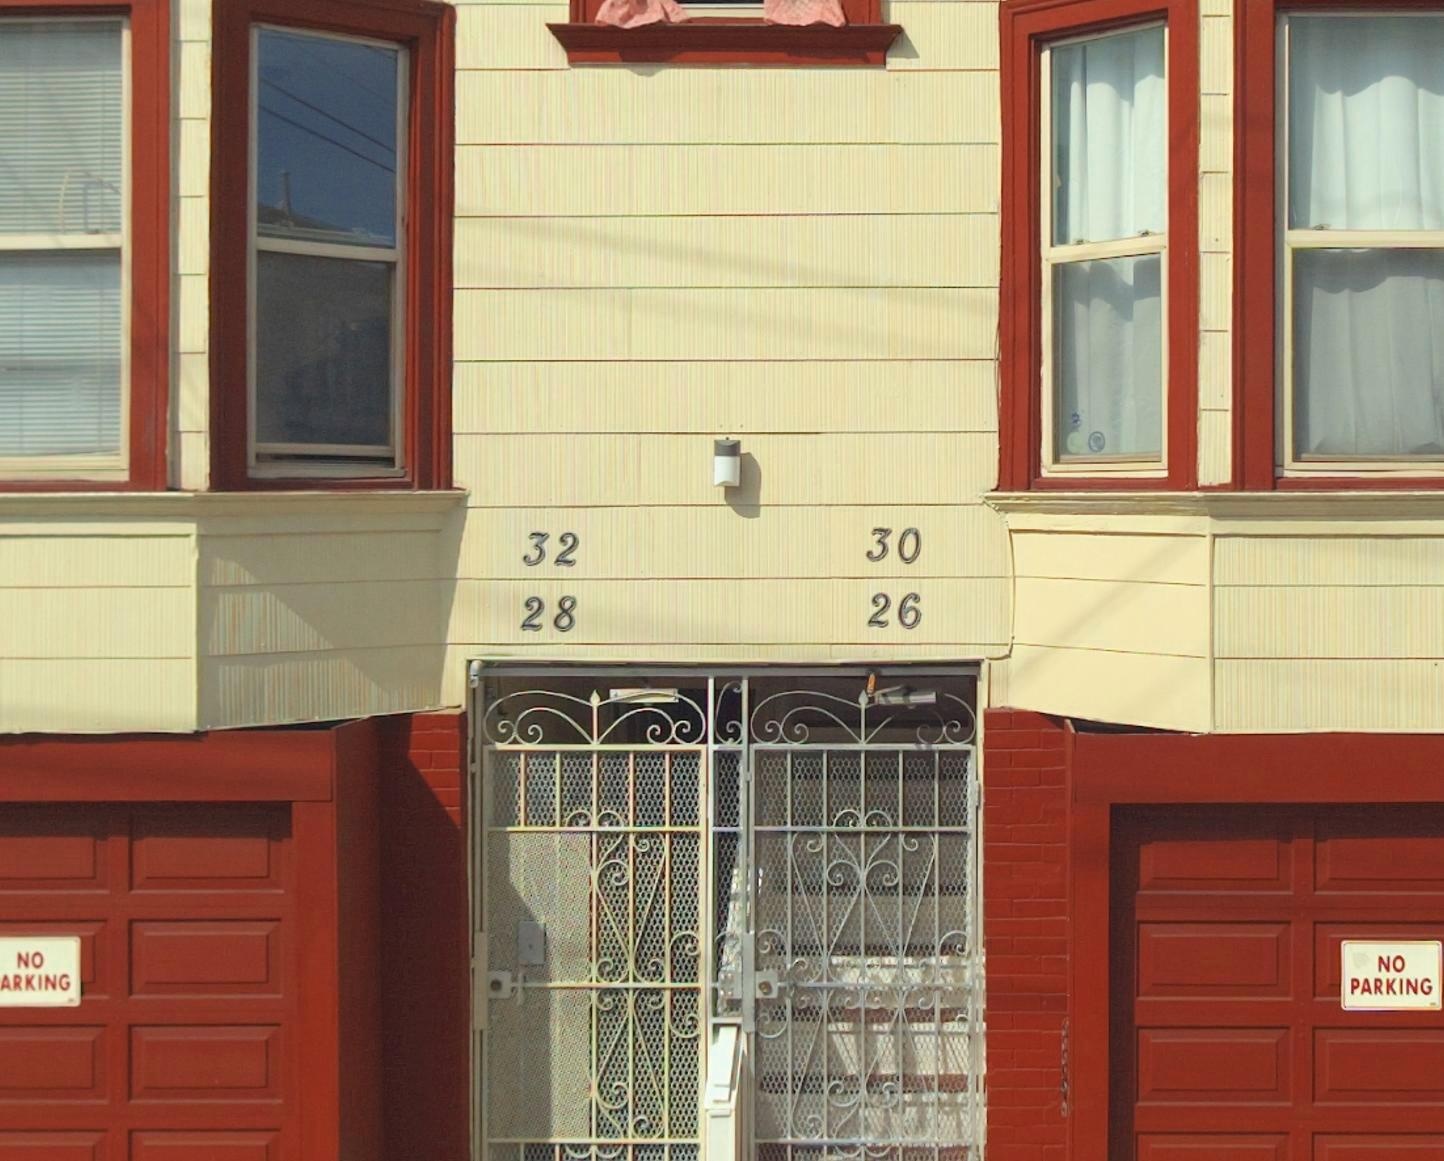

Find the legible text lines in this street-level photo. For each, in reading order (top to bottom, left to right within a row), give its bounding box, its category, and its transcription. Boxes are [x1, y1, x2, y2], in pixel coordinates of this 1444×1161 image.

[516, 527, 582, 570] StreetNumber: 32
[861, 520, 928, 570] StreetNumber: 30
[514, 590, 583, 637] StreetNumber: 28
[862, 588, 925, 633] StreetNumber: 26
[13, 946, 50, 973] None: NO
[0, 970, 74, 996] None: ARKING
[1346, 974, 1438, 999] None: PARKING
[1375, 951, 1412, 976] None: NO